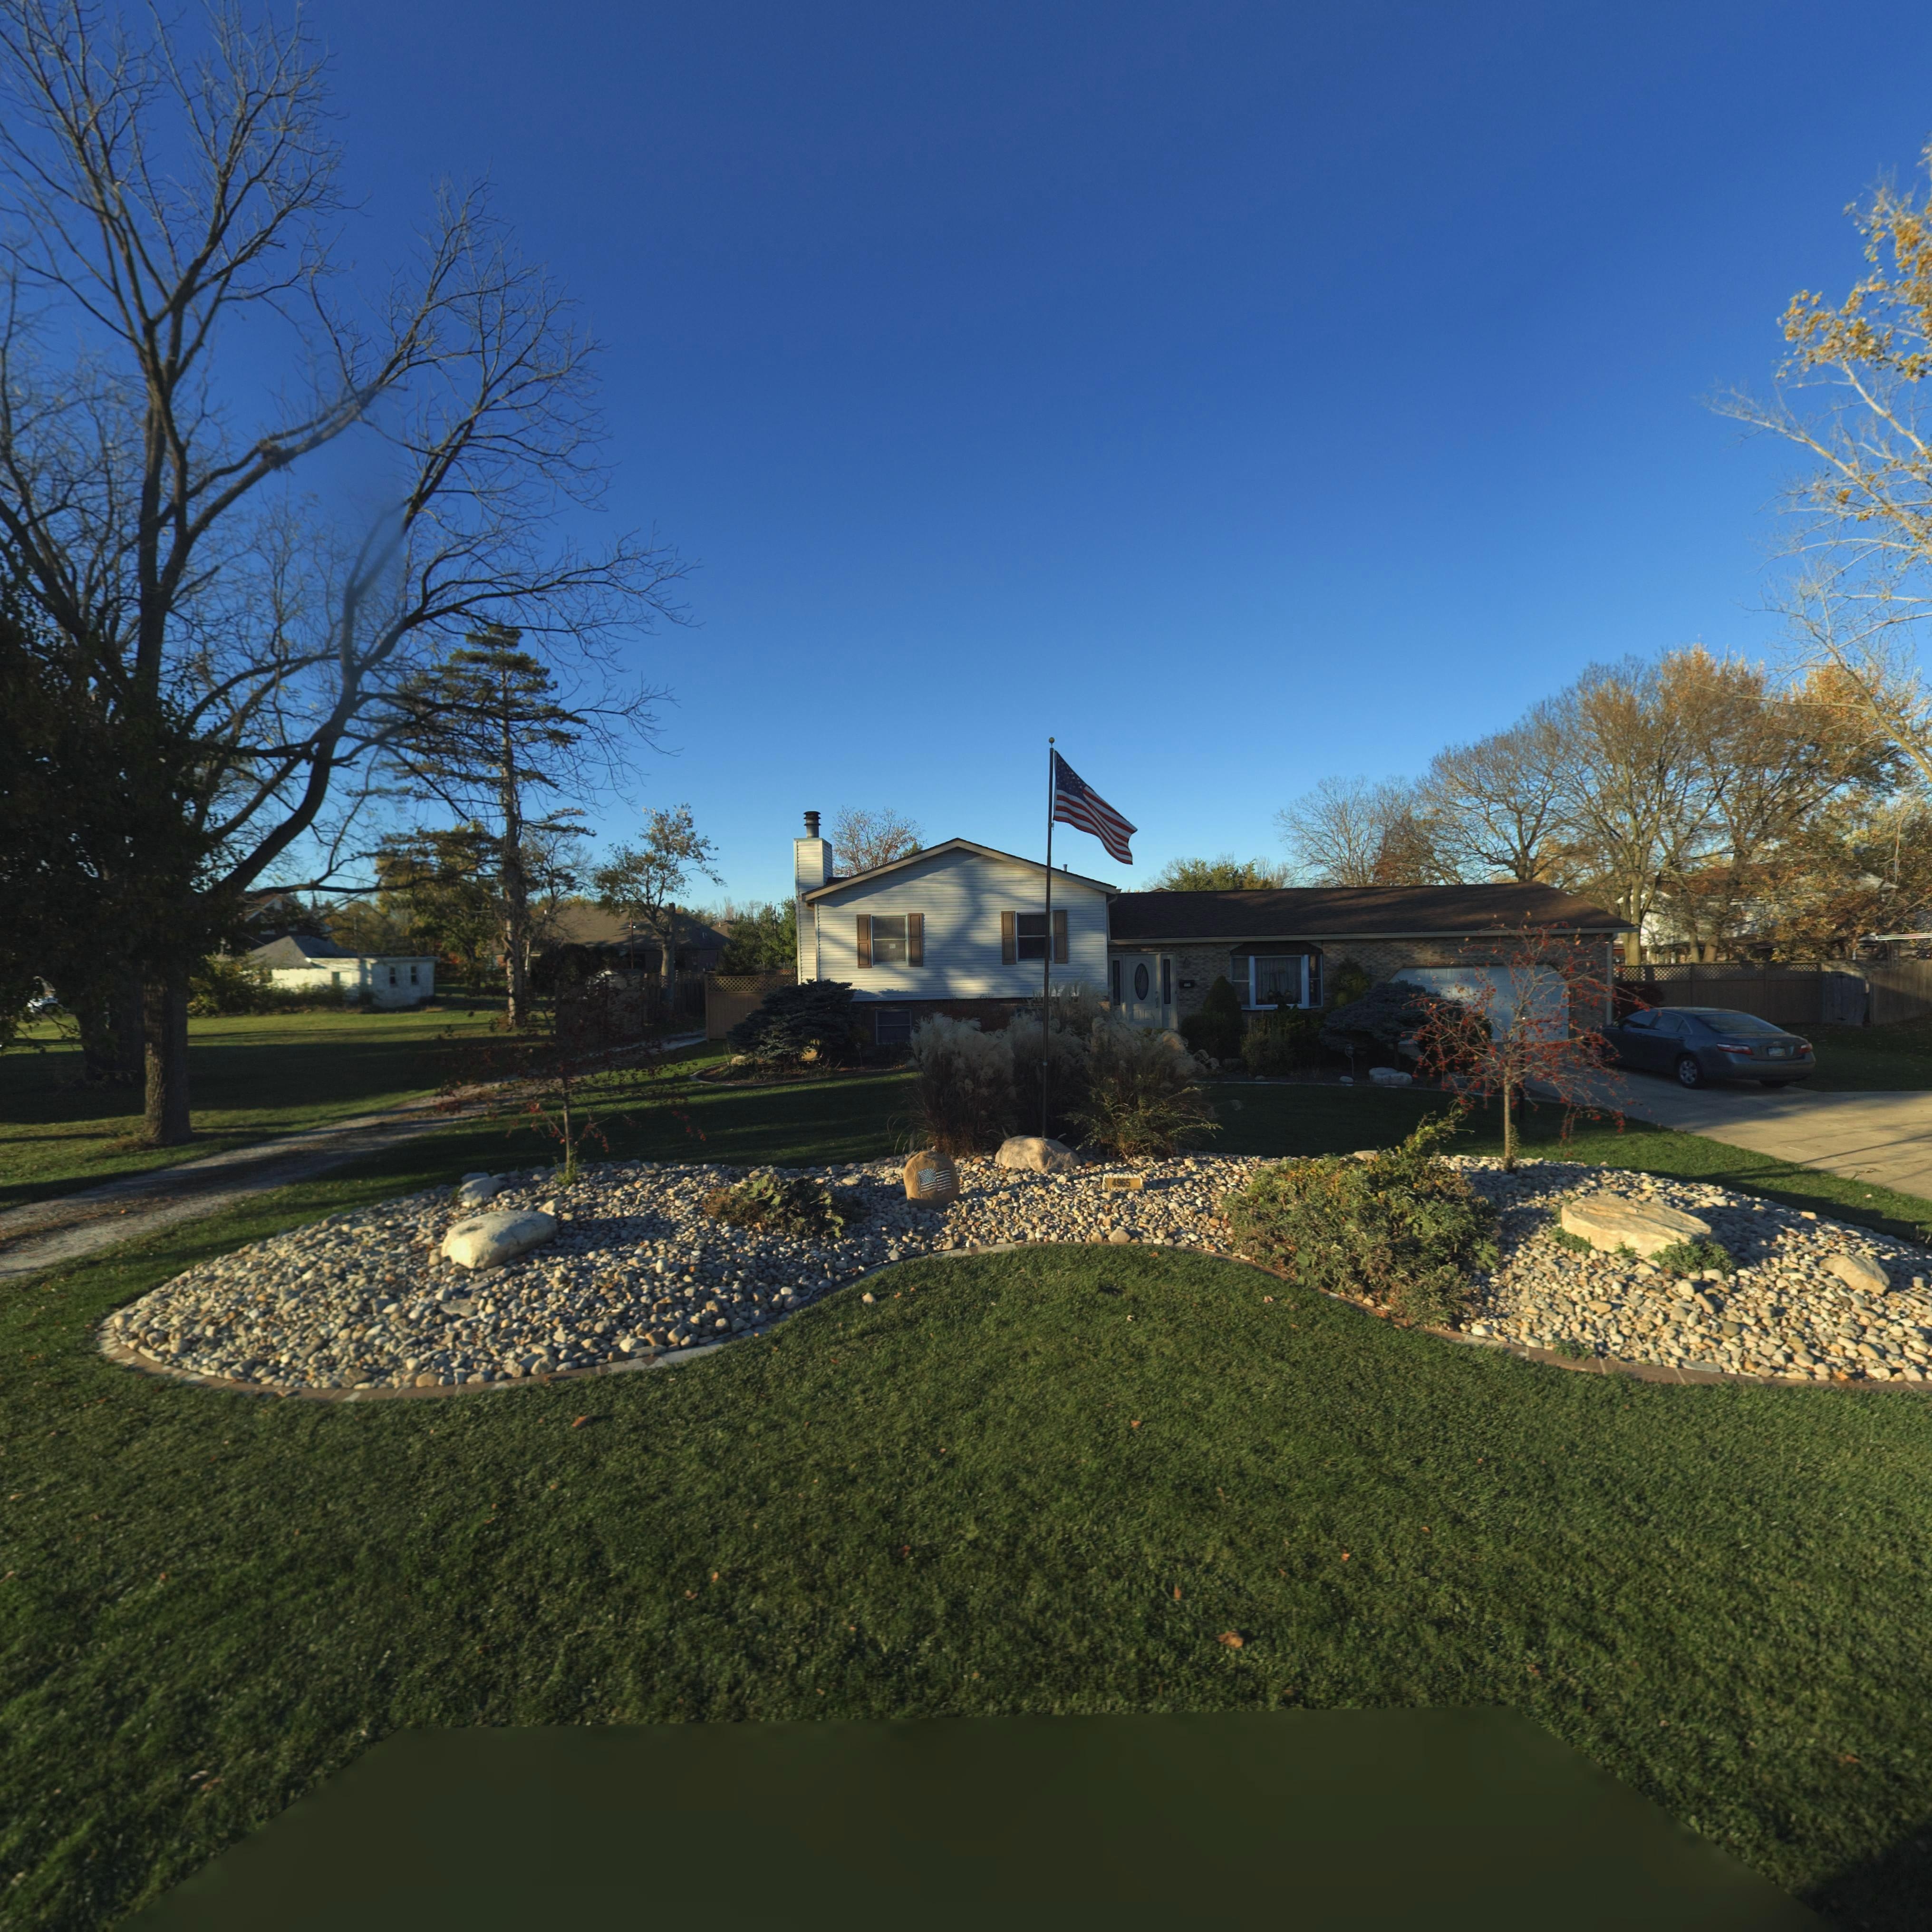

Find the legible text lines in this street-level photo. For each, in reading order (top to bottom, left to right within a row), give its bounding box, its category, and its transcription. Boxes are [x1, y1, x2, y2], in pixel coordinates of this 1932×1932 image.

[1111, 1178, 1131, 1187] StreetNumber: 4965